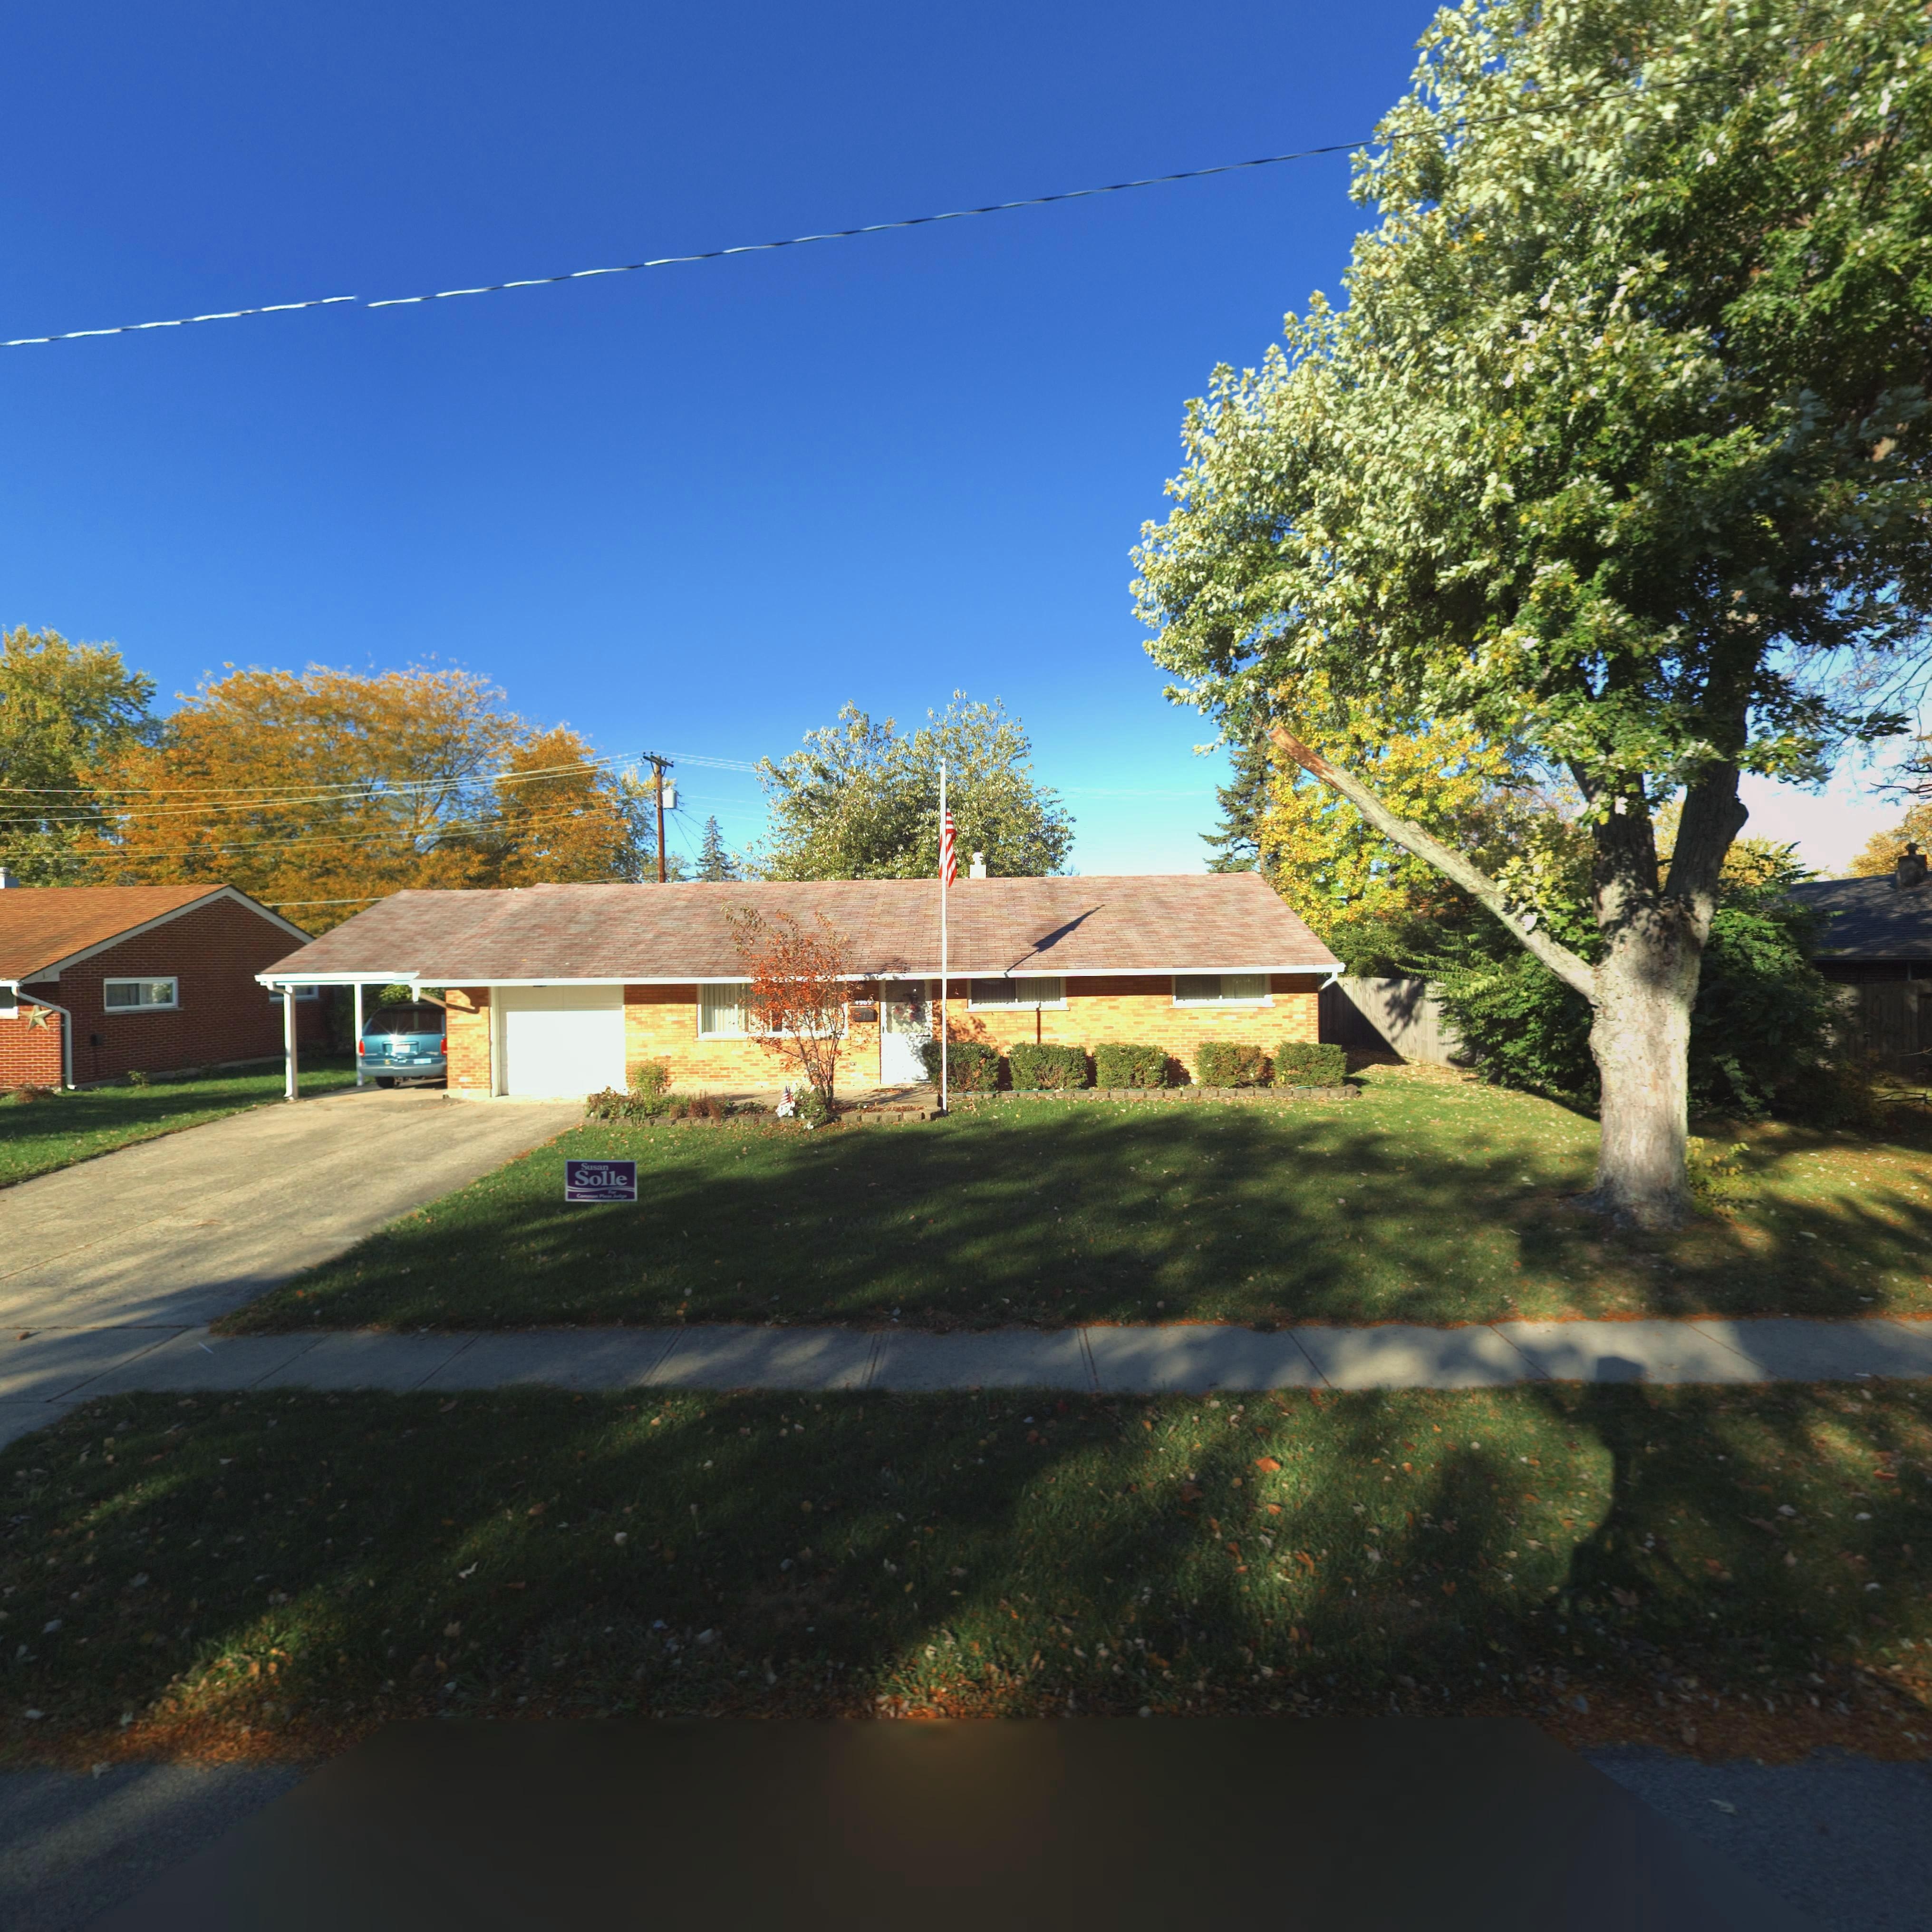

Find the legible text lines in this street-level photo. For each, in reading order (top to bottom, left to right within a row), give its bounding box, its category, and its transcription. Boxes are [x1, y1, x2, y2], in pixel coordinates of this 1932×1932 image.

[854, 998, 872, 1005] StreetNumber: 4969